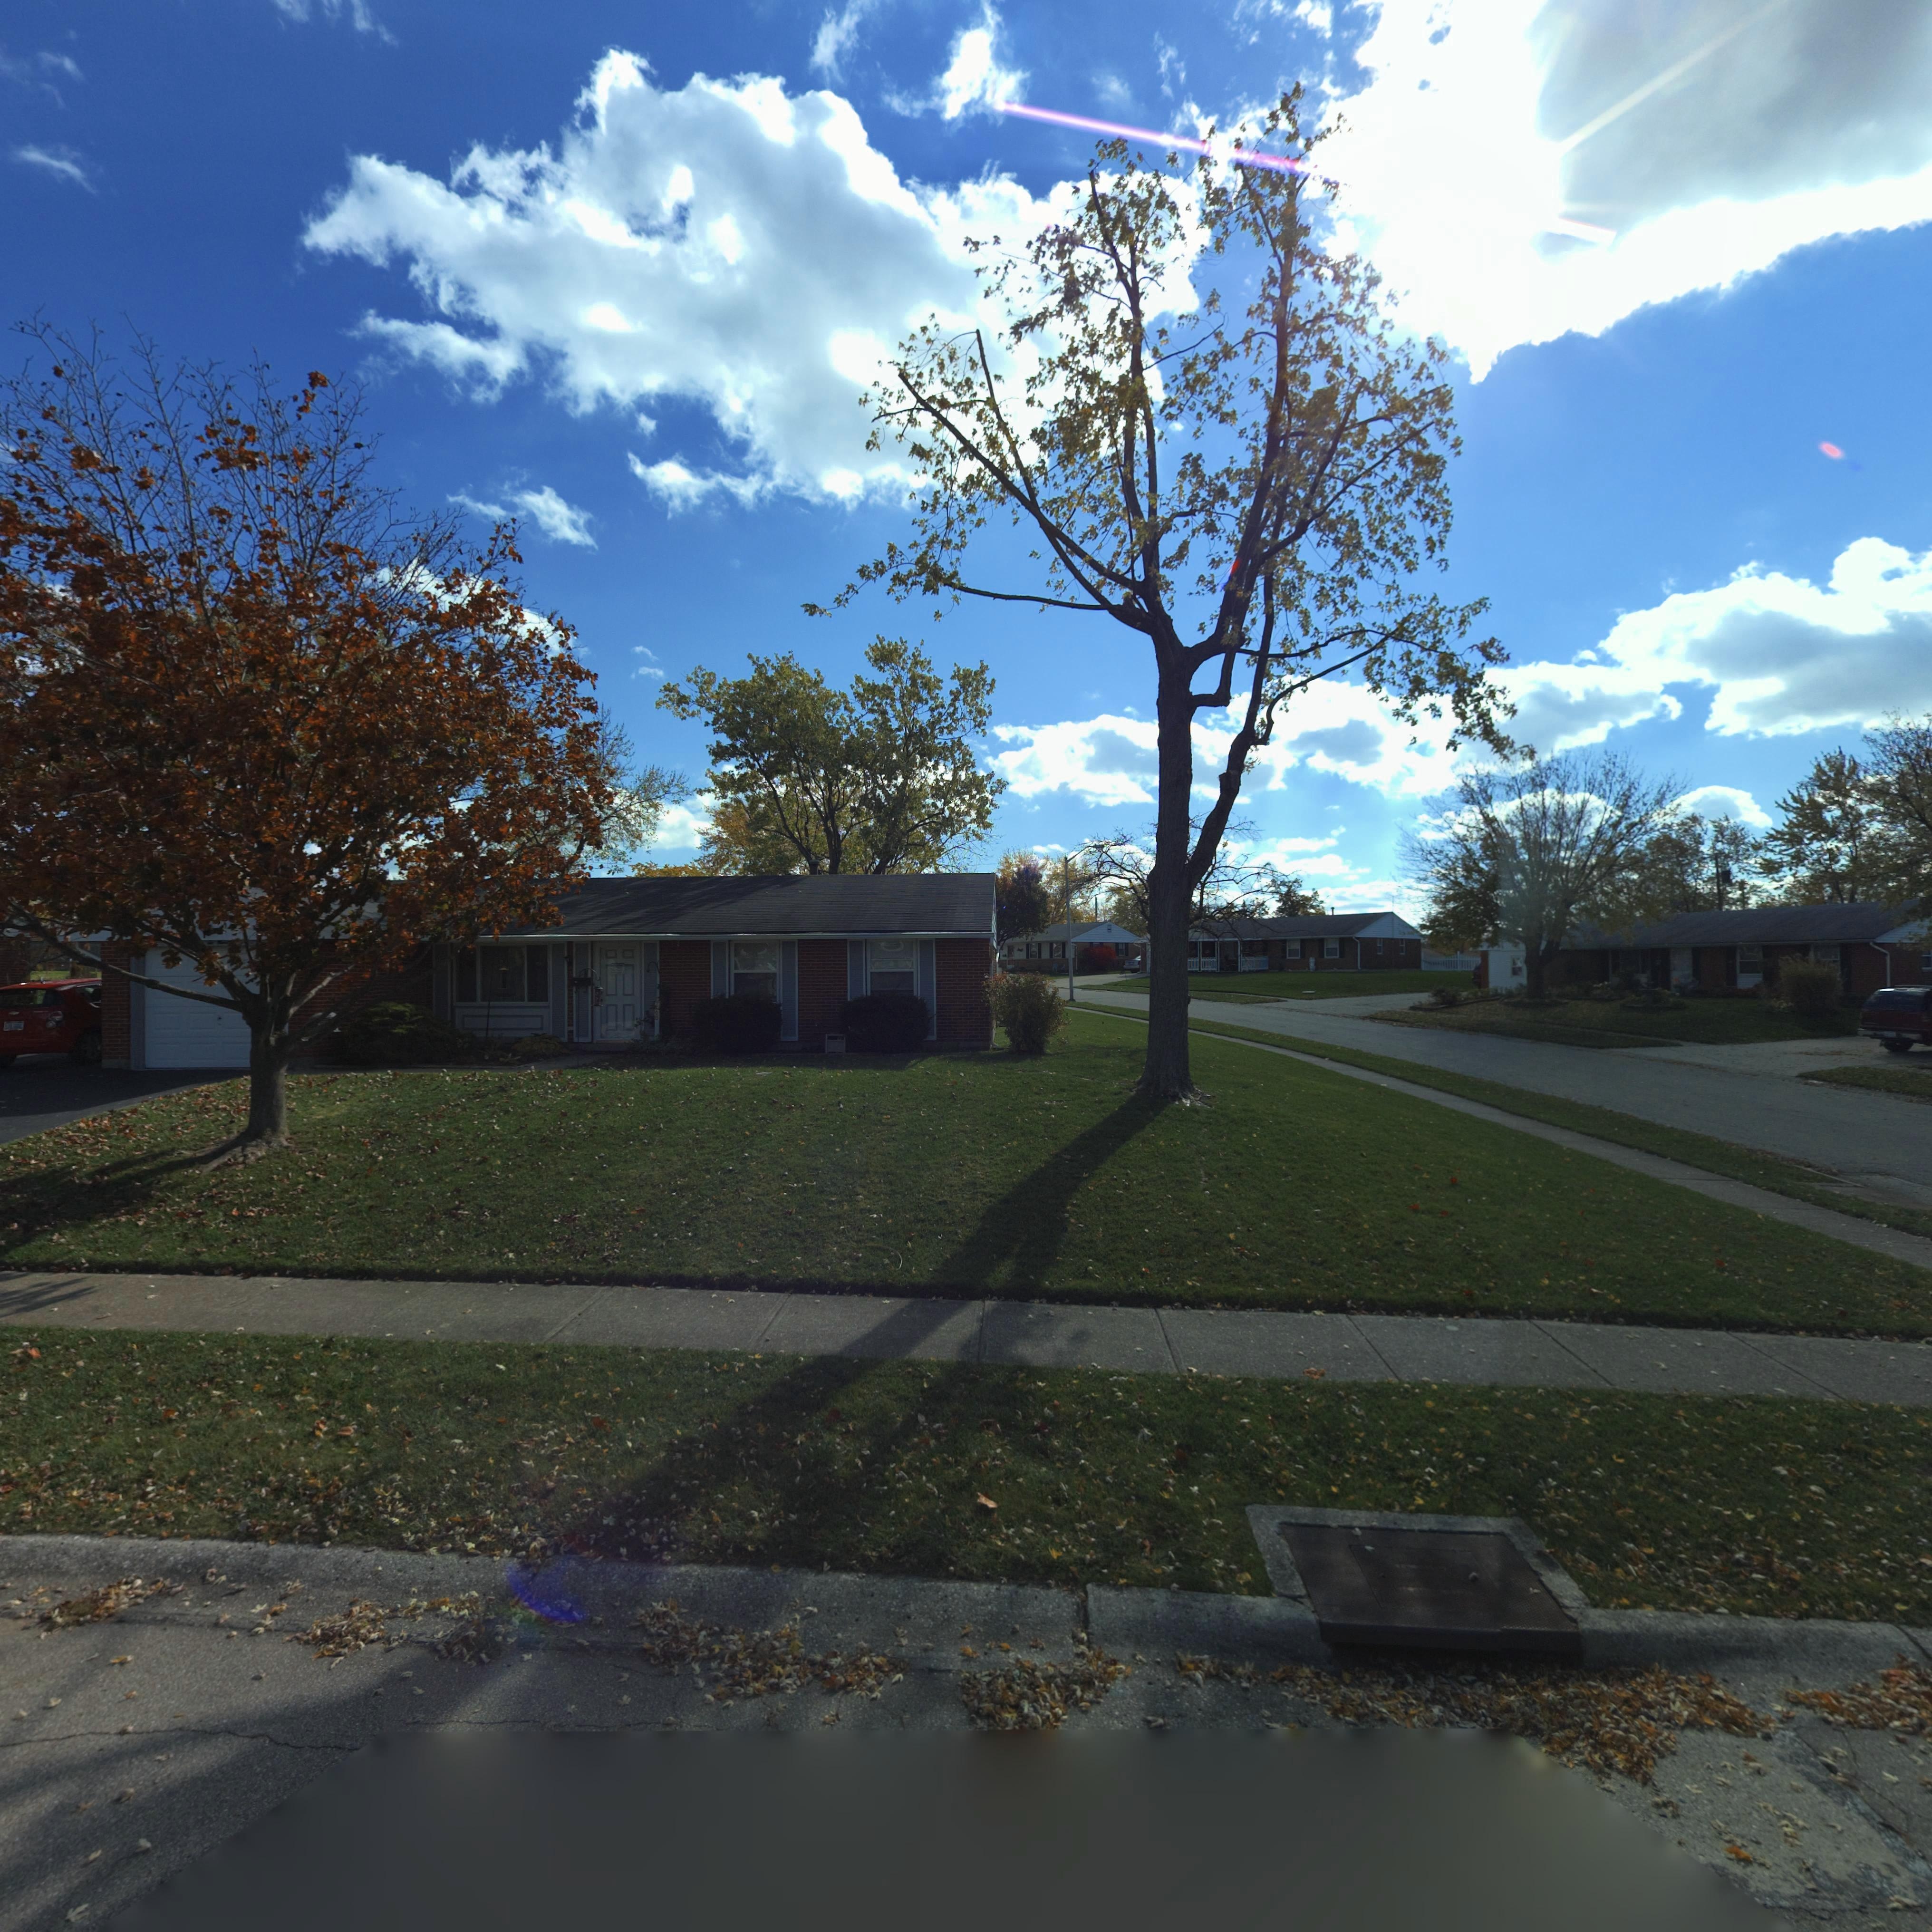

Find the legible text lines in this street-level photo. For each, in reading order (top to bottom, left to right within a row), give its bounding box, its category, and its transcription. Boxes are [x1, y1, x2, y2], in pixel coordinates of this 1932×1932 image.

[654, 1001, 658, 1020] StreetNumber: 7600